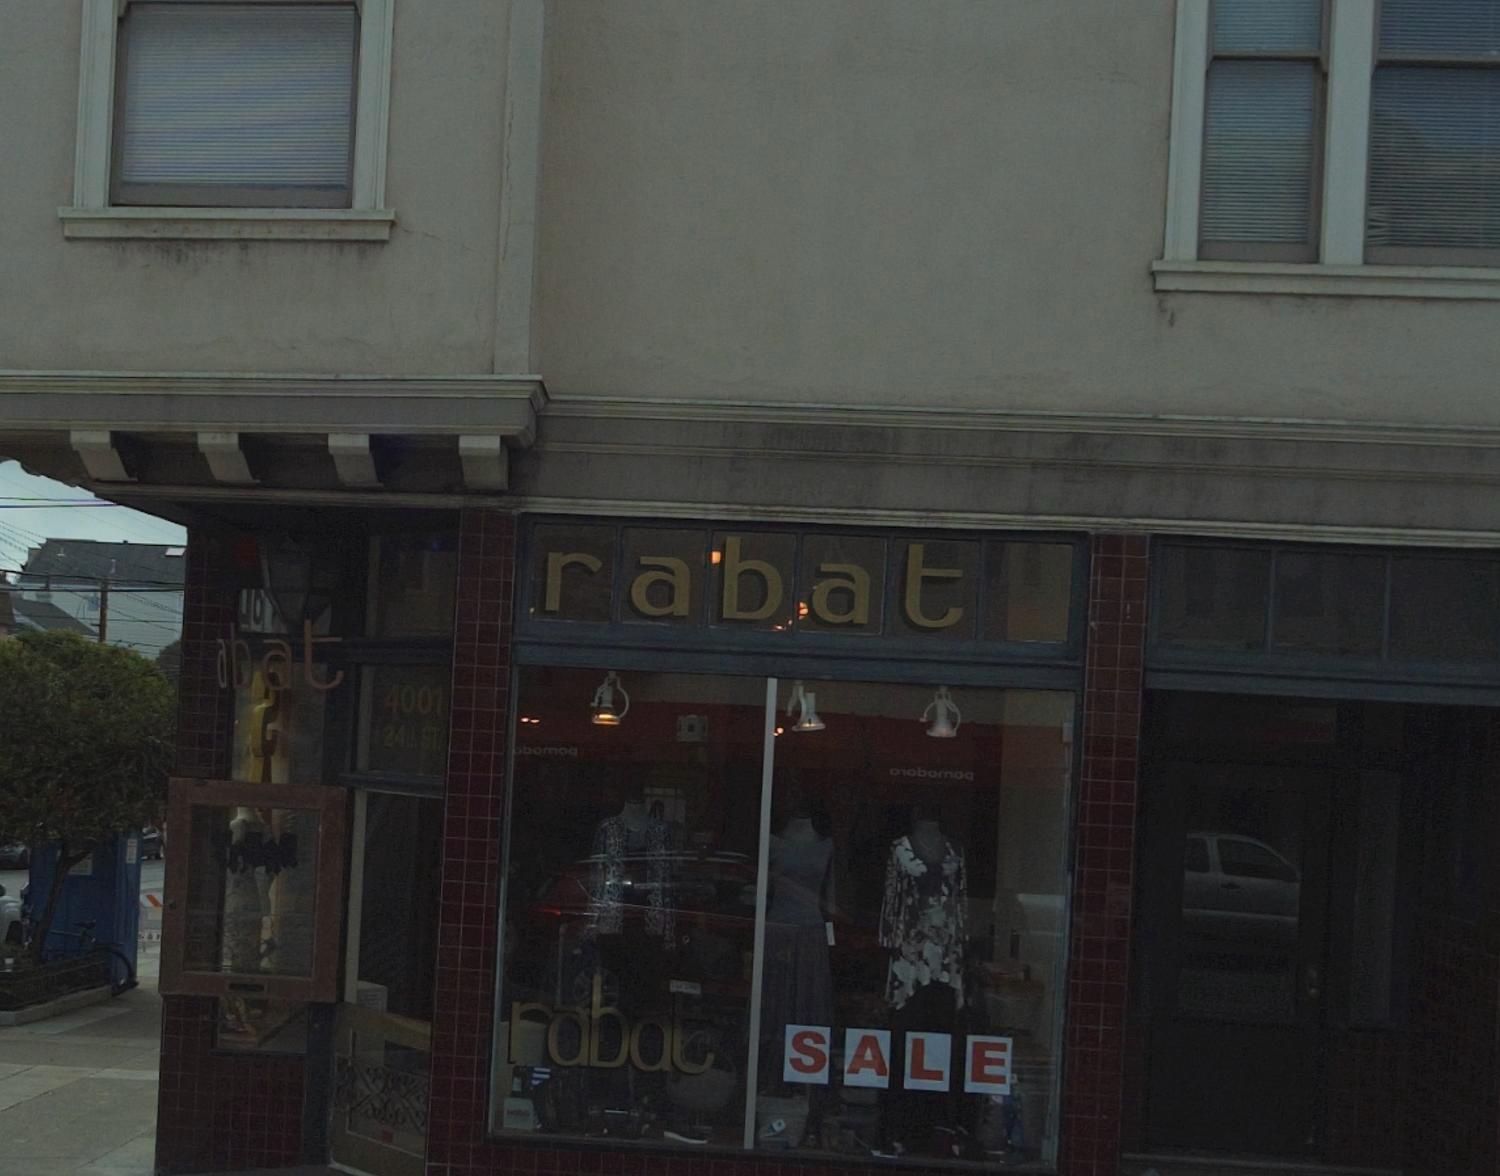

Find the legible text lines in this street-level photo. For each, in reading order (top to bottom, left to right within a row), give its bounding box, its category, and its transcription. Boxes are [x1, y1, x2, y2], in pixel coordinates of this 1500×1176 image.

[541, 529, 965, 631] BusinessName: rabat
[216, 617, 345, 691] BusinessName: abat
[383, 682, 446, 717] StreetNumber: 4001
[382, 722, 443, 753] StreetName: 24th ST.
[522, 742, 579, 759] None: bomo*
[888, 766, 976, 784] None: o*obomo*
[507, 968, 716, 1077] BusinessName: rabat
[787, 1029, 1009, 1086] None: SALE